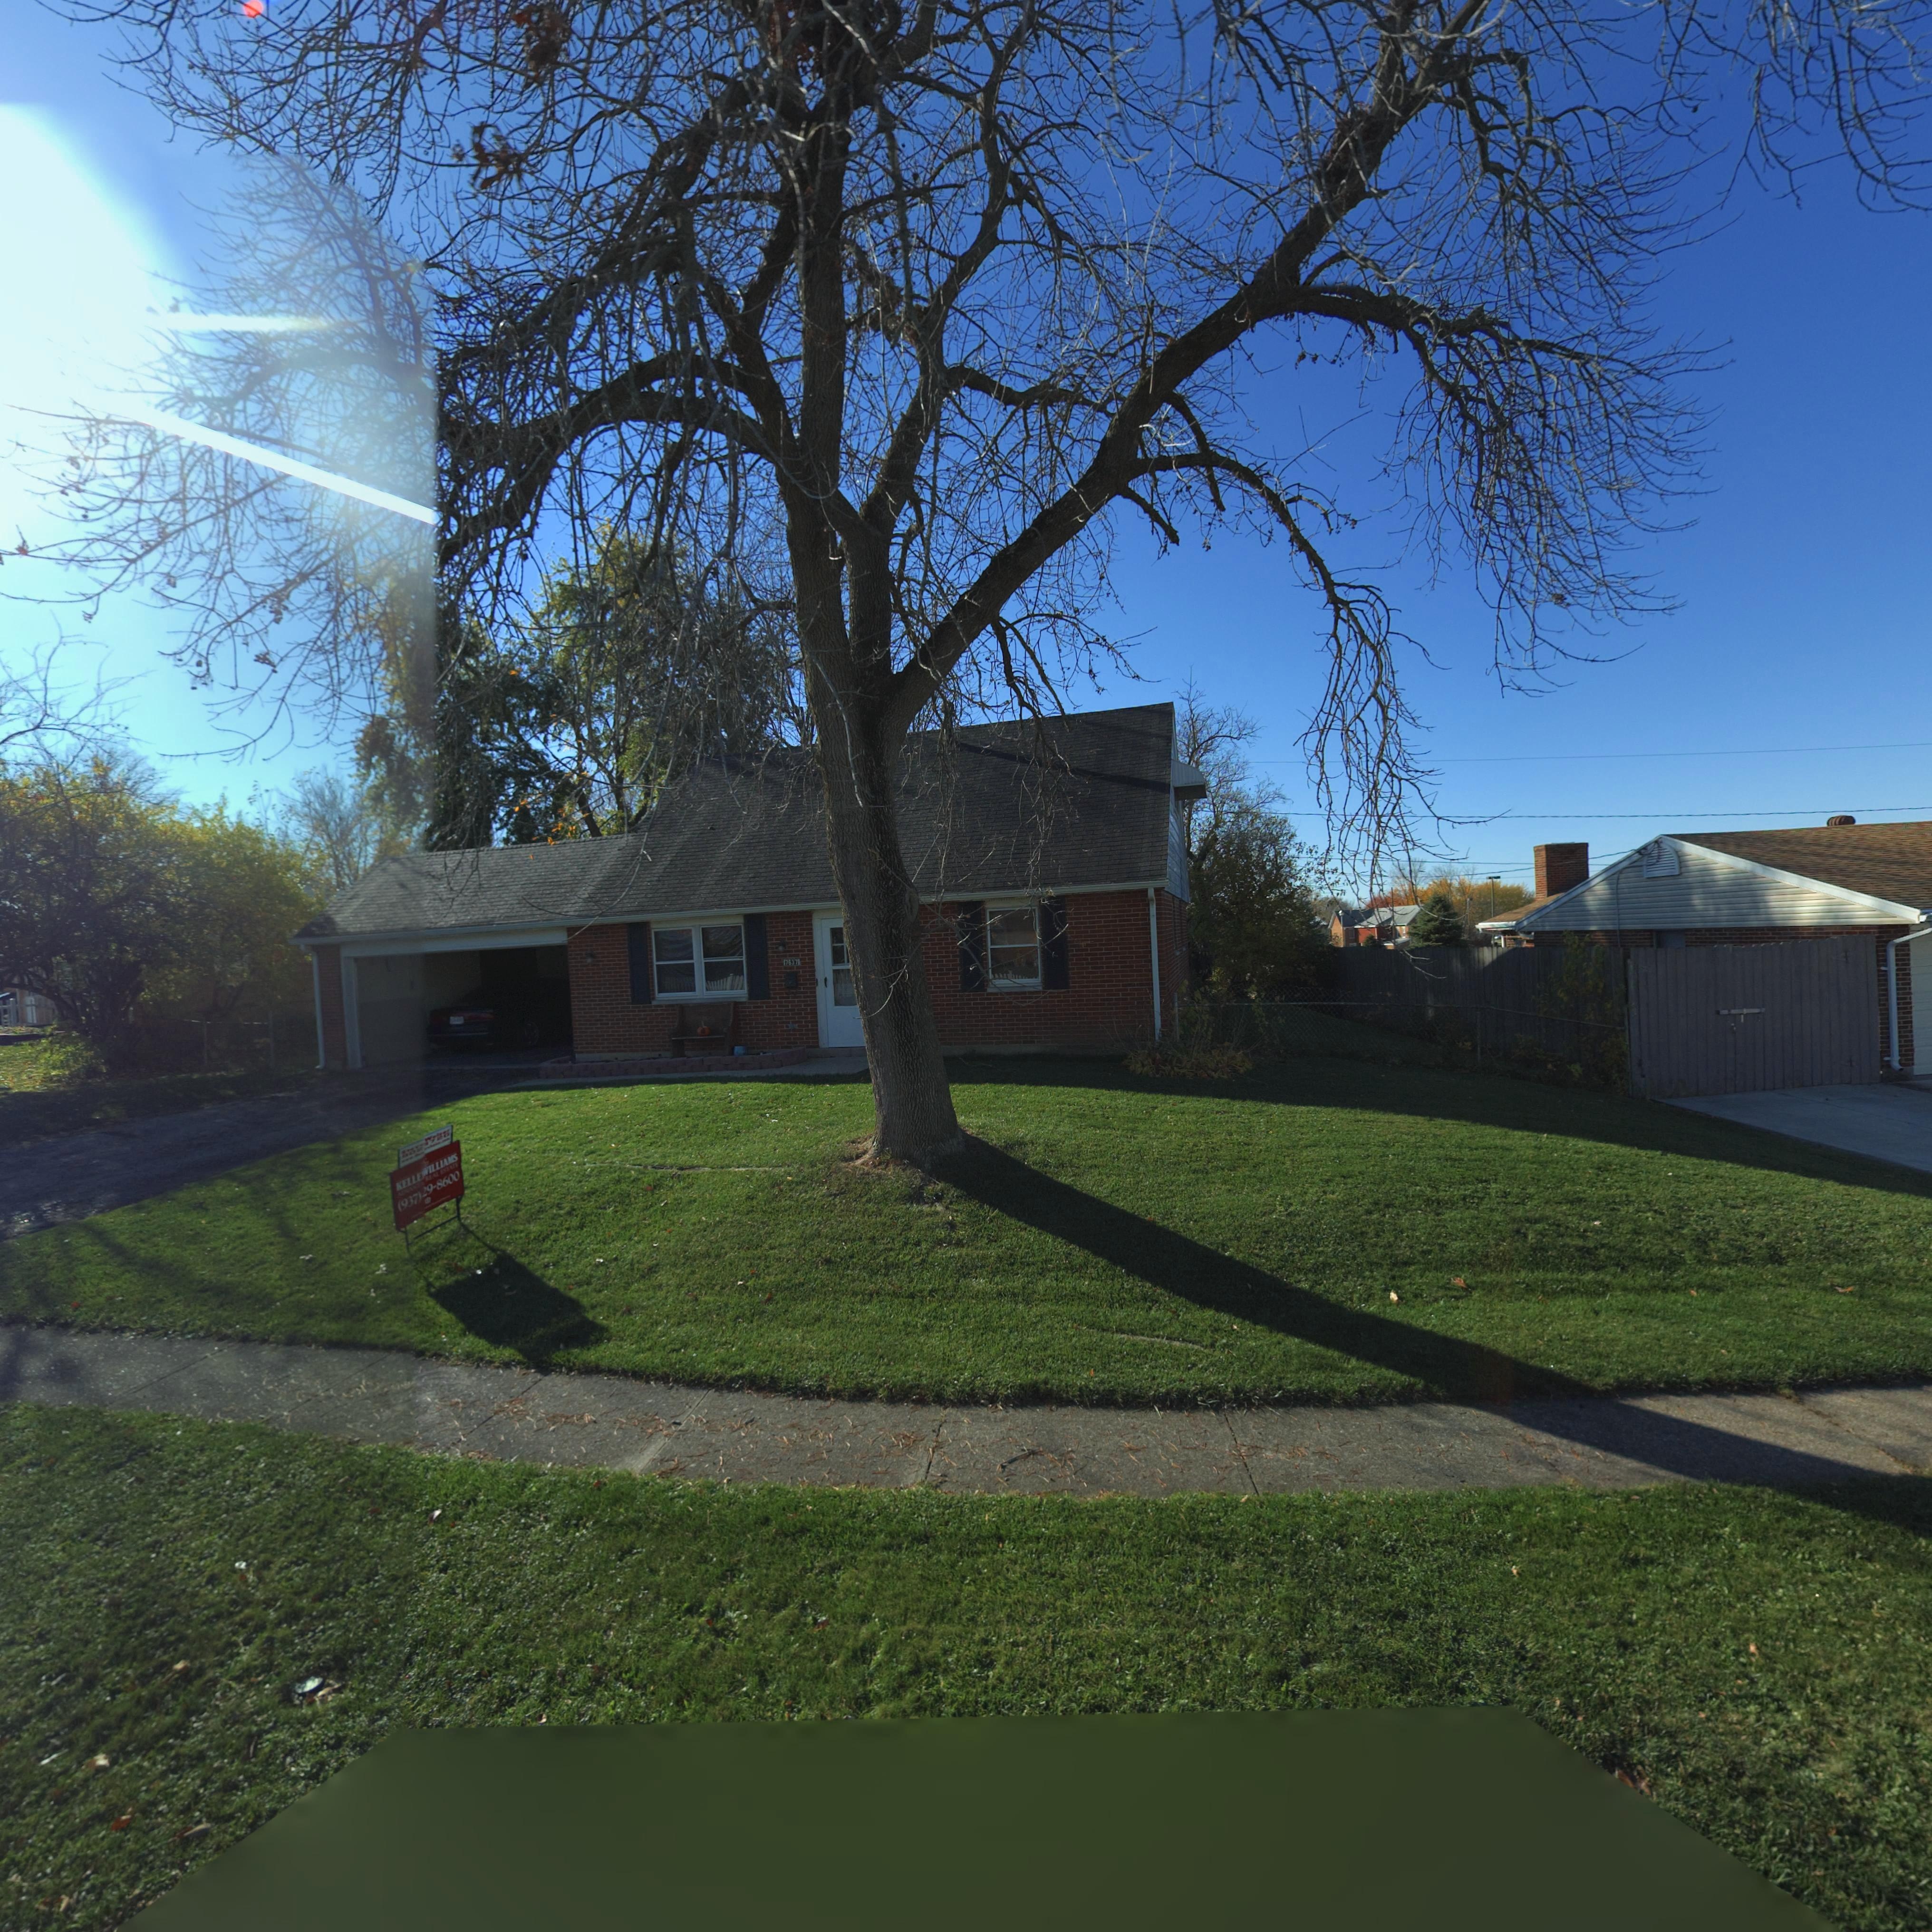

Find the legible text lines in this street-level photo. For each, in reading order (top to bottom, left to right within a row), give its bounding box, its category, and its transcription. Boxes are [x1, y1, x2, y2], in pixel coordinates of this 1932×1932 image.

[783, 958, 799, 966] StreetNumber: 7637